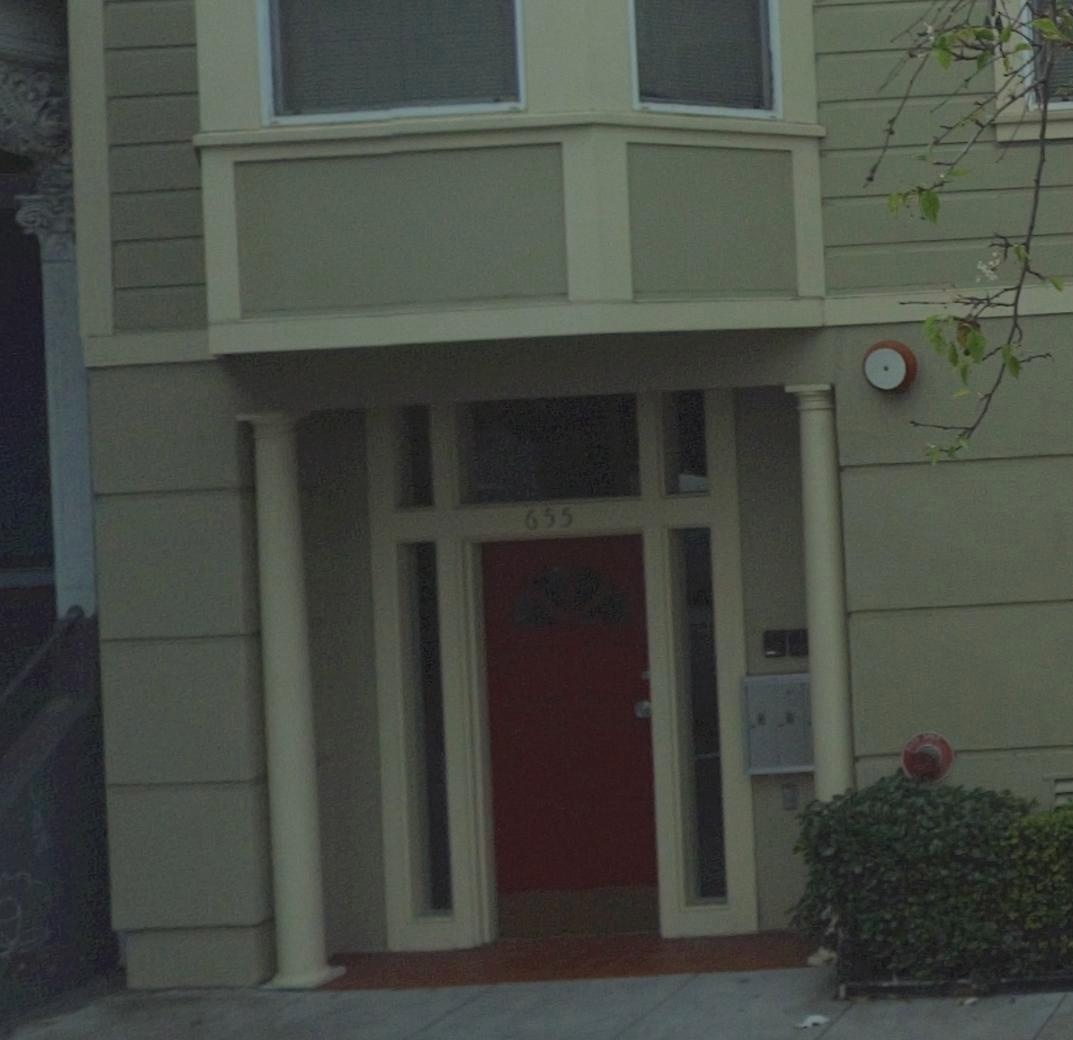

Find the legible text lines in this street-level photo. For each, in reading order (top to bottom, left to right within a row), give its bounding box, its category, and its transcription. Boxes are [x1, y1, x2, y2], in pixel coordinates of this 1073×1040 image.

[524, 507, 574, 530] StreetNumber: 655